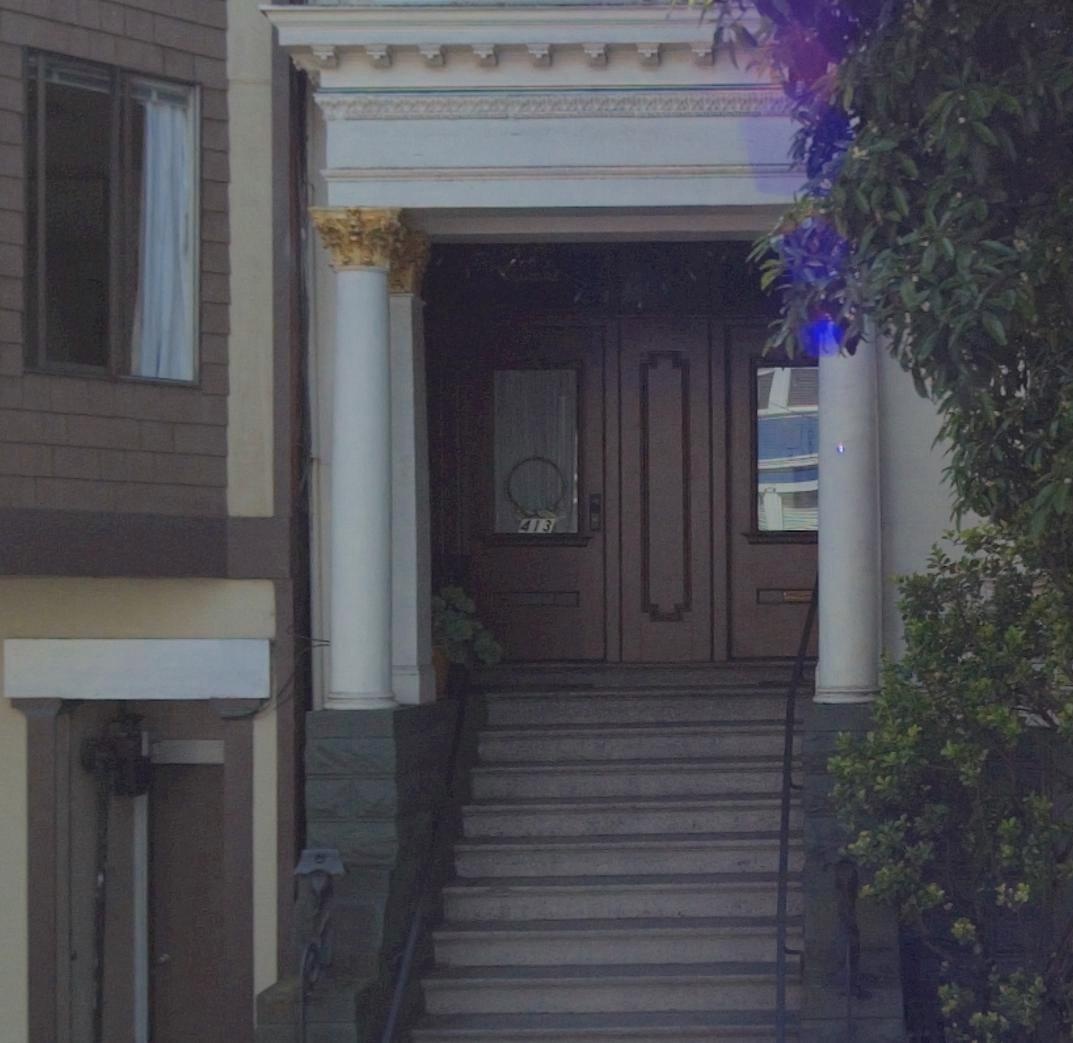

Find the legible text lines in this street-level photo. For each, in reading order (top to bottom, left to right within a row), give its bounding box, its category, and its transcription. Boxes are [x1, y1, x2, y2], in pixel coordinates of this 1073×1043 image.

[517, 518, 555, 534] StreetNumber: 413